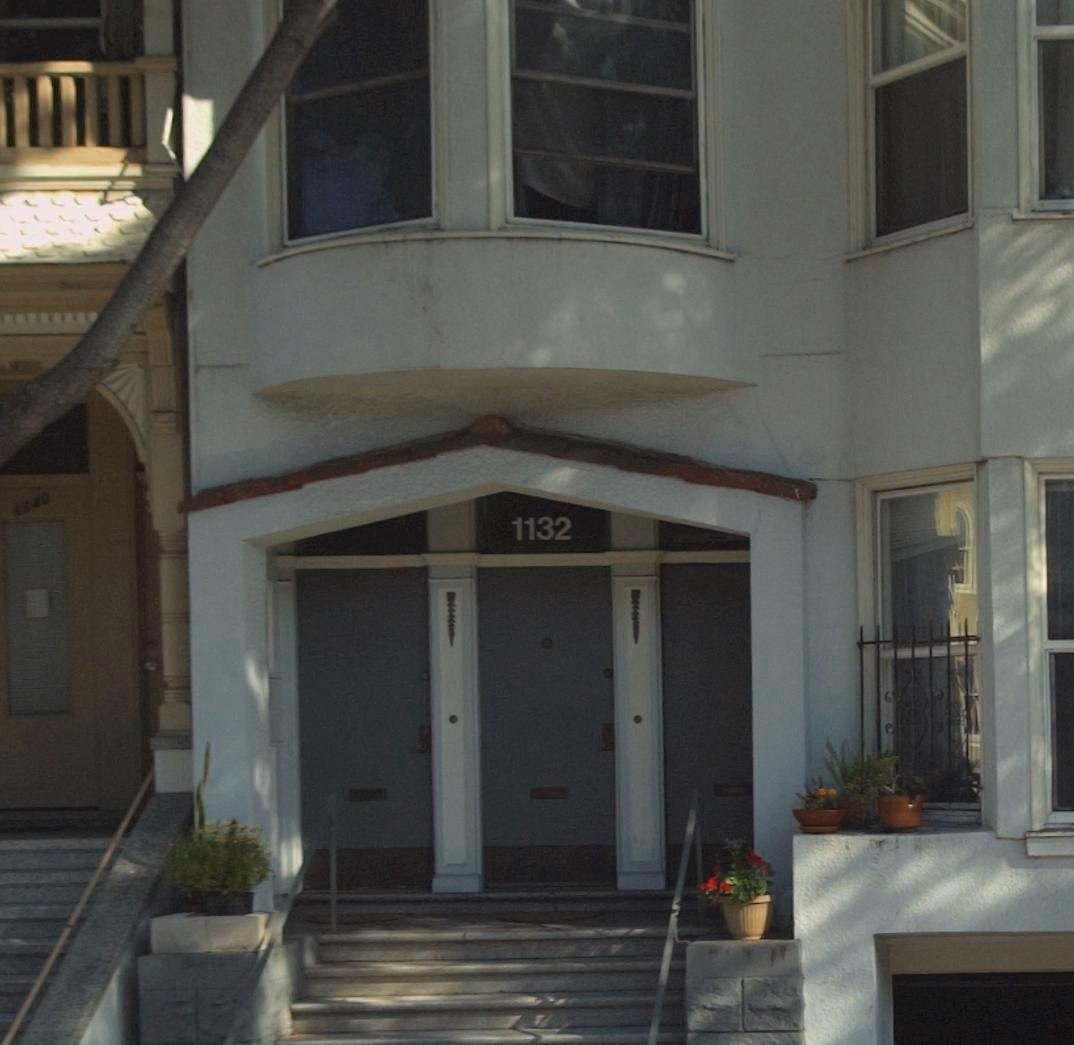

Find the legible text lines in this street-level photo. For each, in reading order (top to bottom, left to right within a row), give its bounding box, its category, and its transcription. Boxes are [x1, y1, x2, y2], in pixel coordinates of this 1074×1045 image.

[511, 513, 574, 545] StreetNumber: 1132